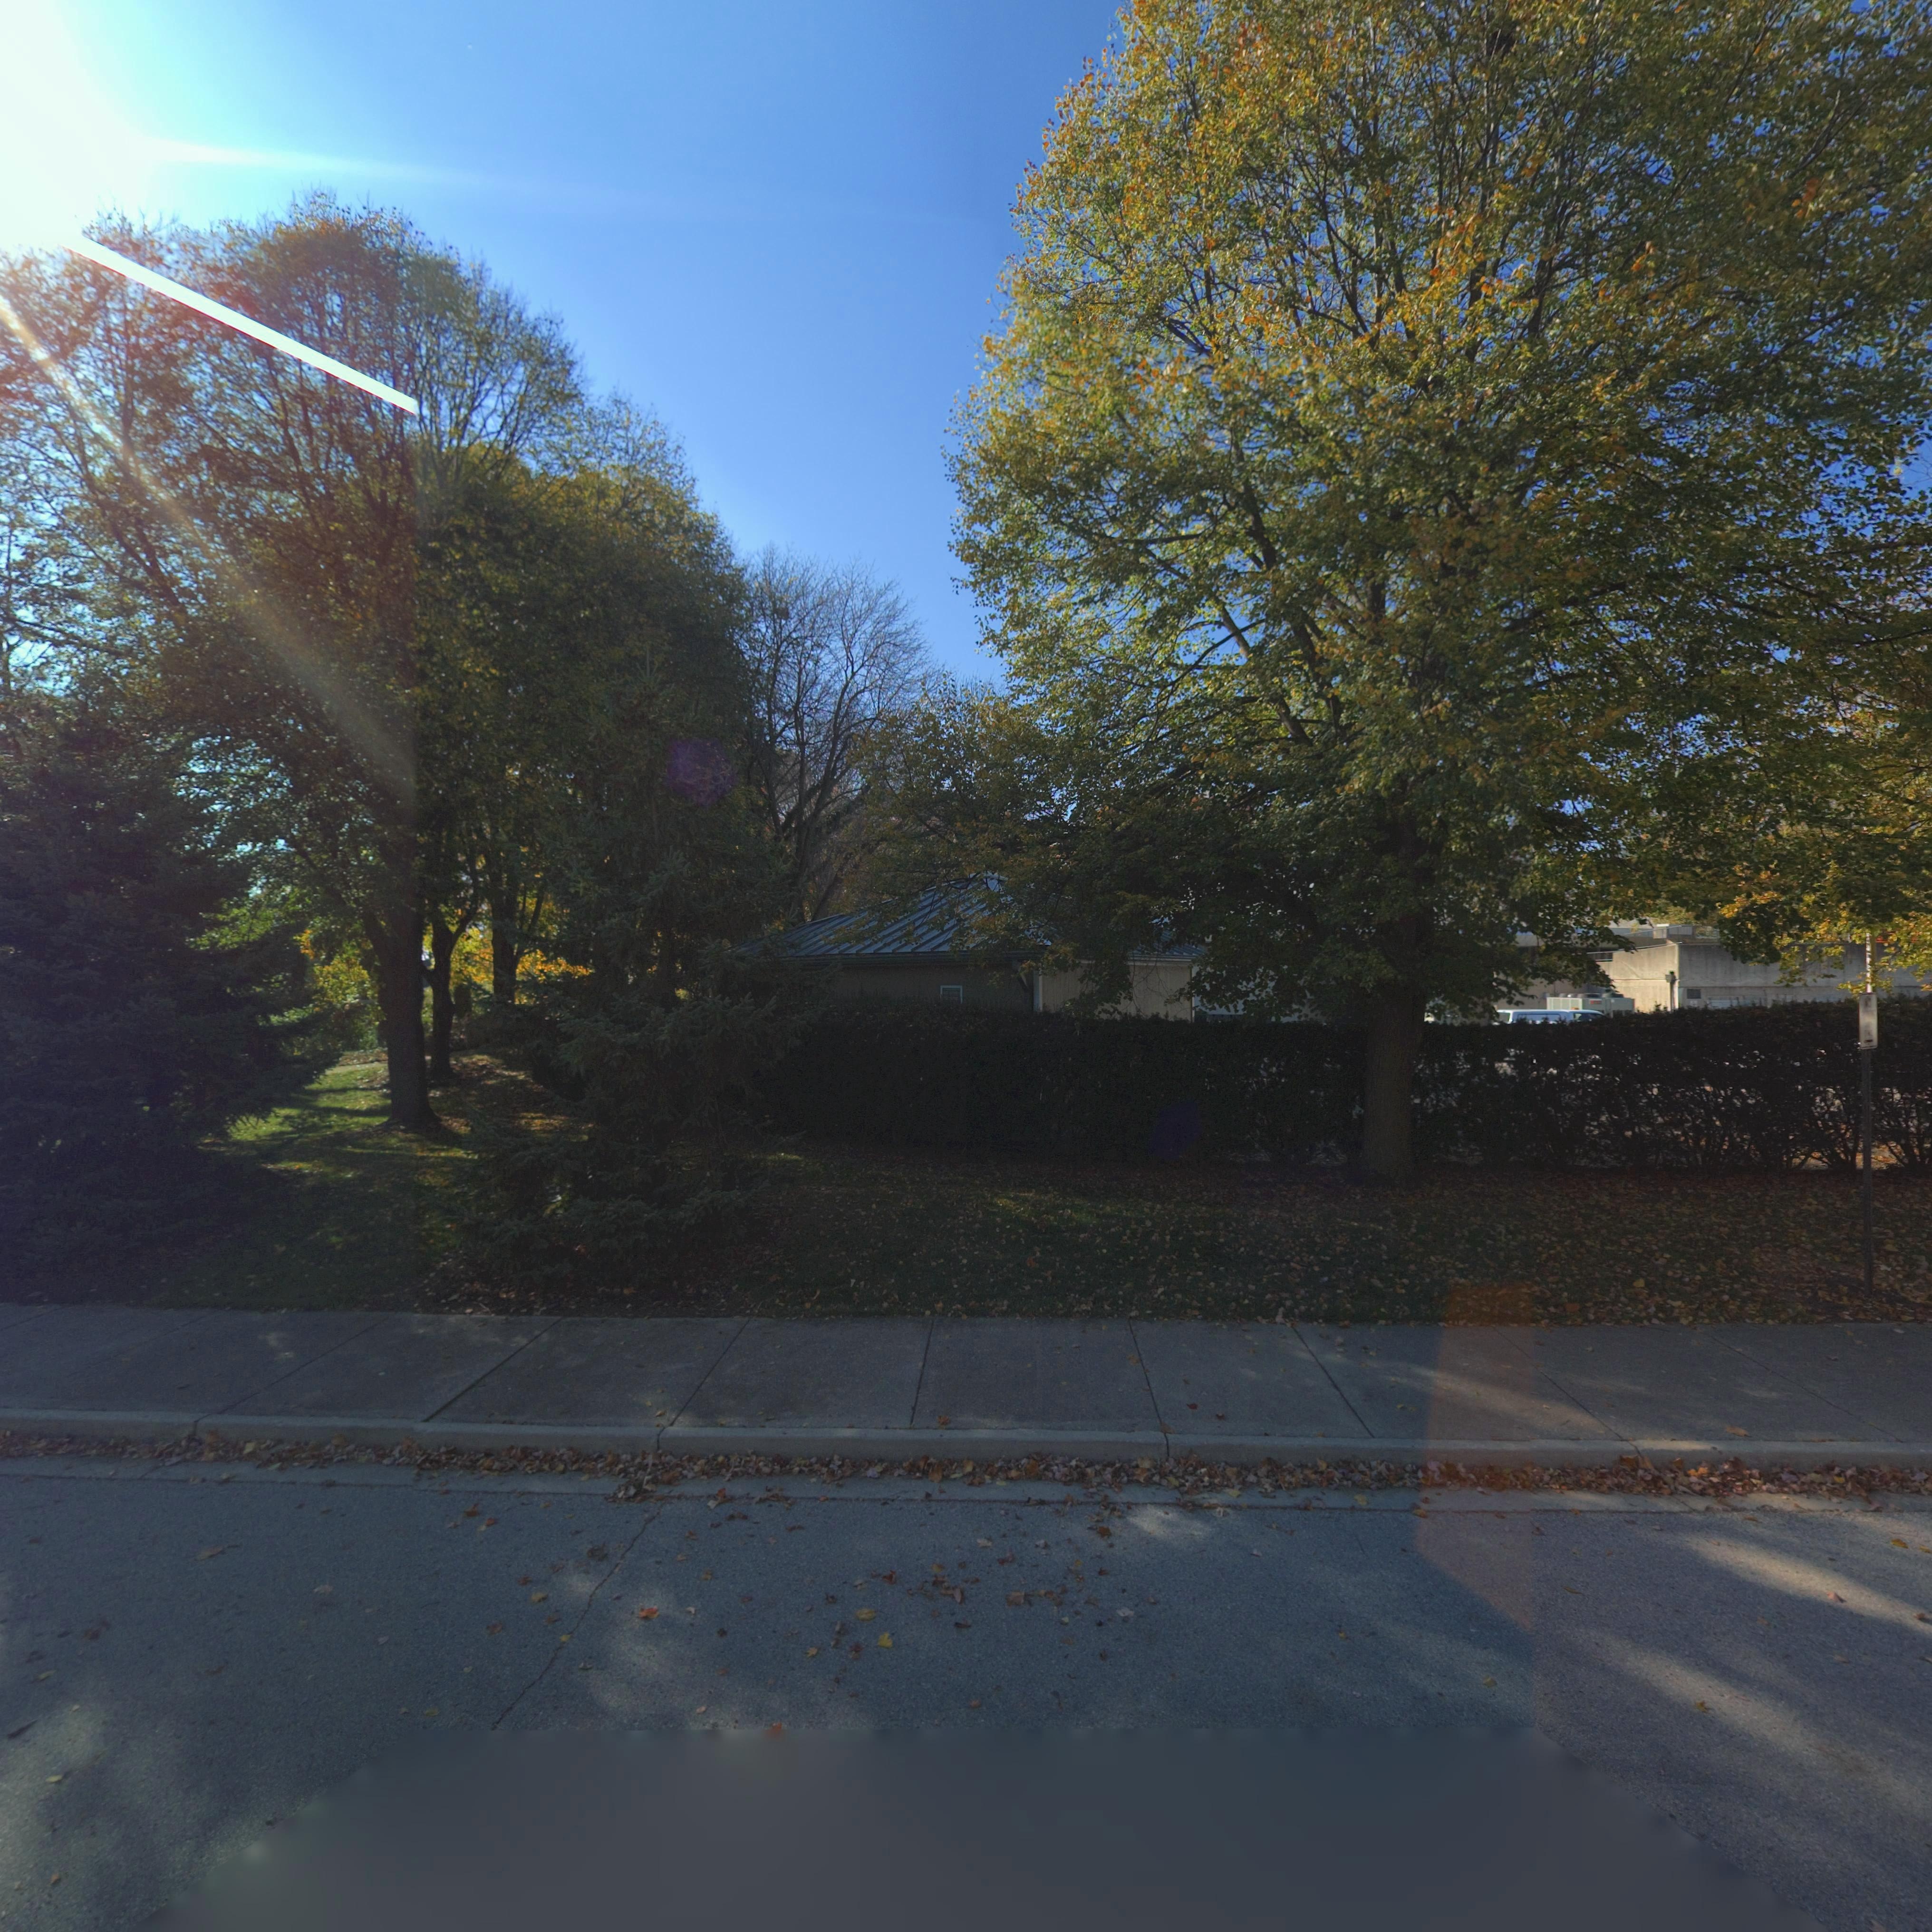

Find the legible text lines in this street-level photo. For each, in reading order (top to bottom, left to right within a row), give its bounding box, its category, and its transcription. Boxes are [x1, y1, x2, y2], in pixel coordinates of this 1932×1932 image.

[1867, 997, 1872, 1008] None: O